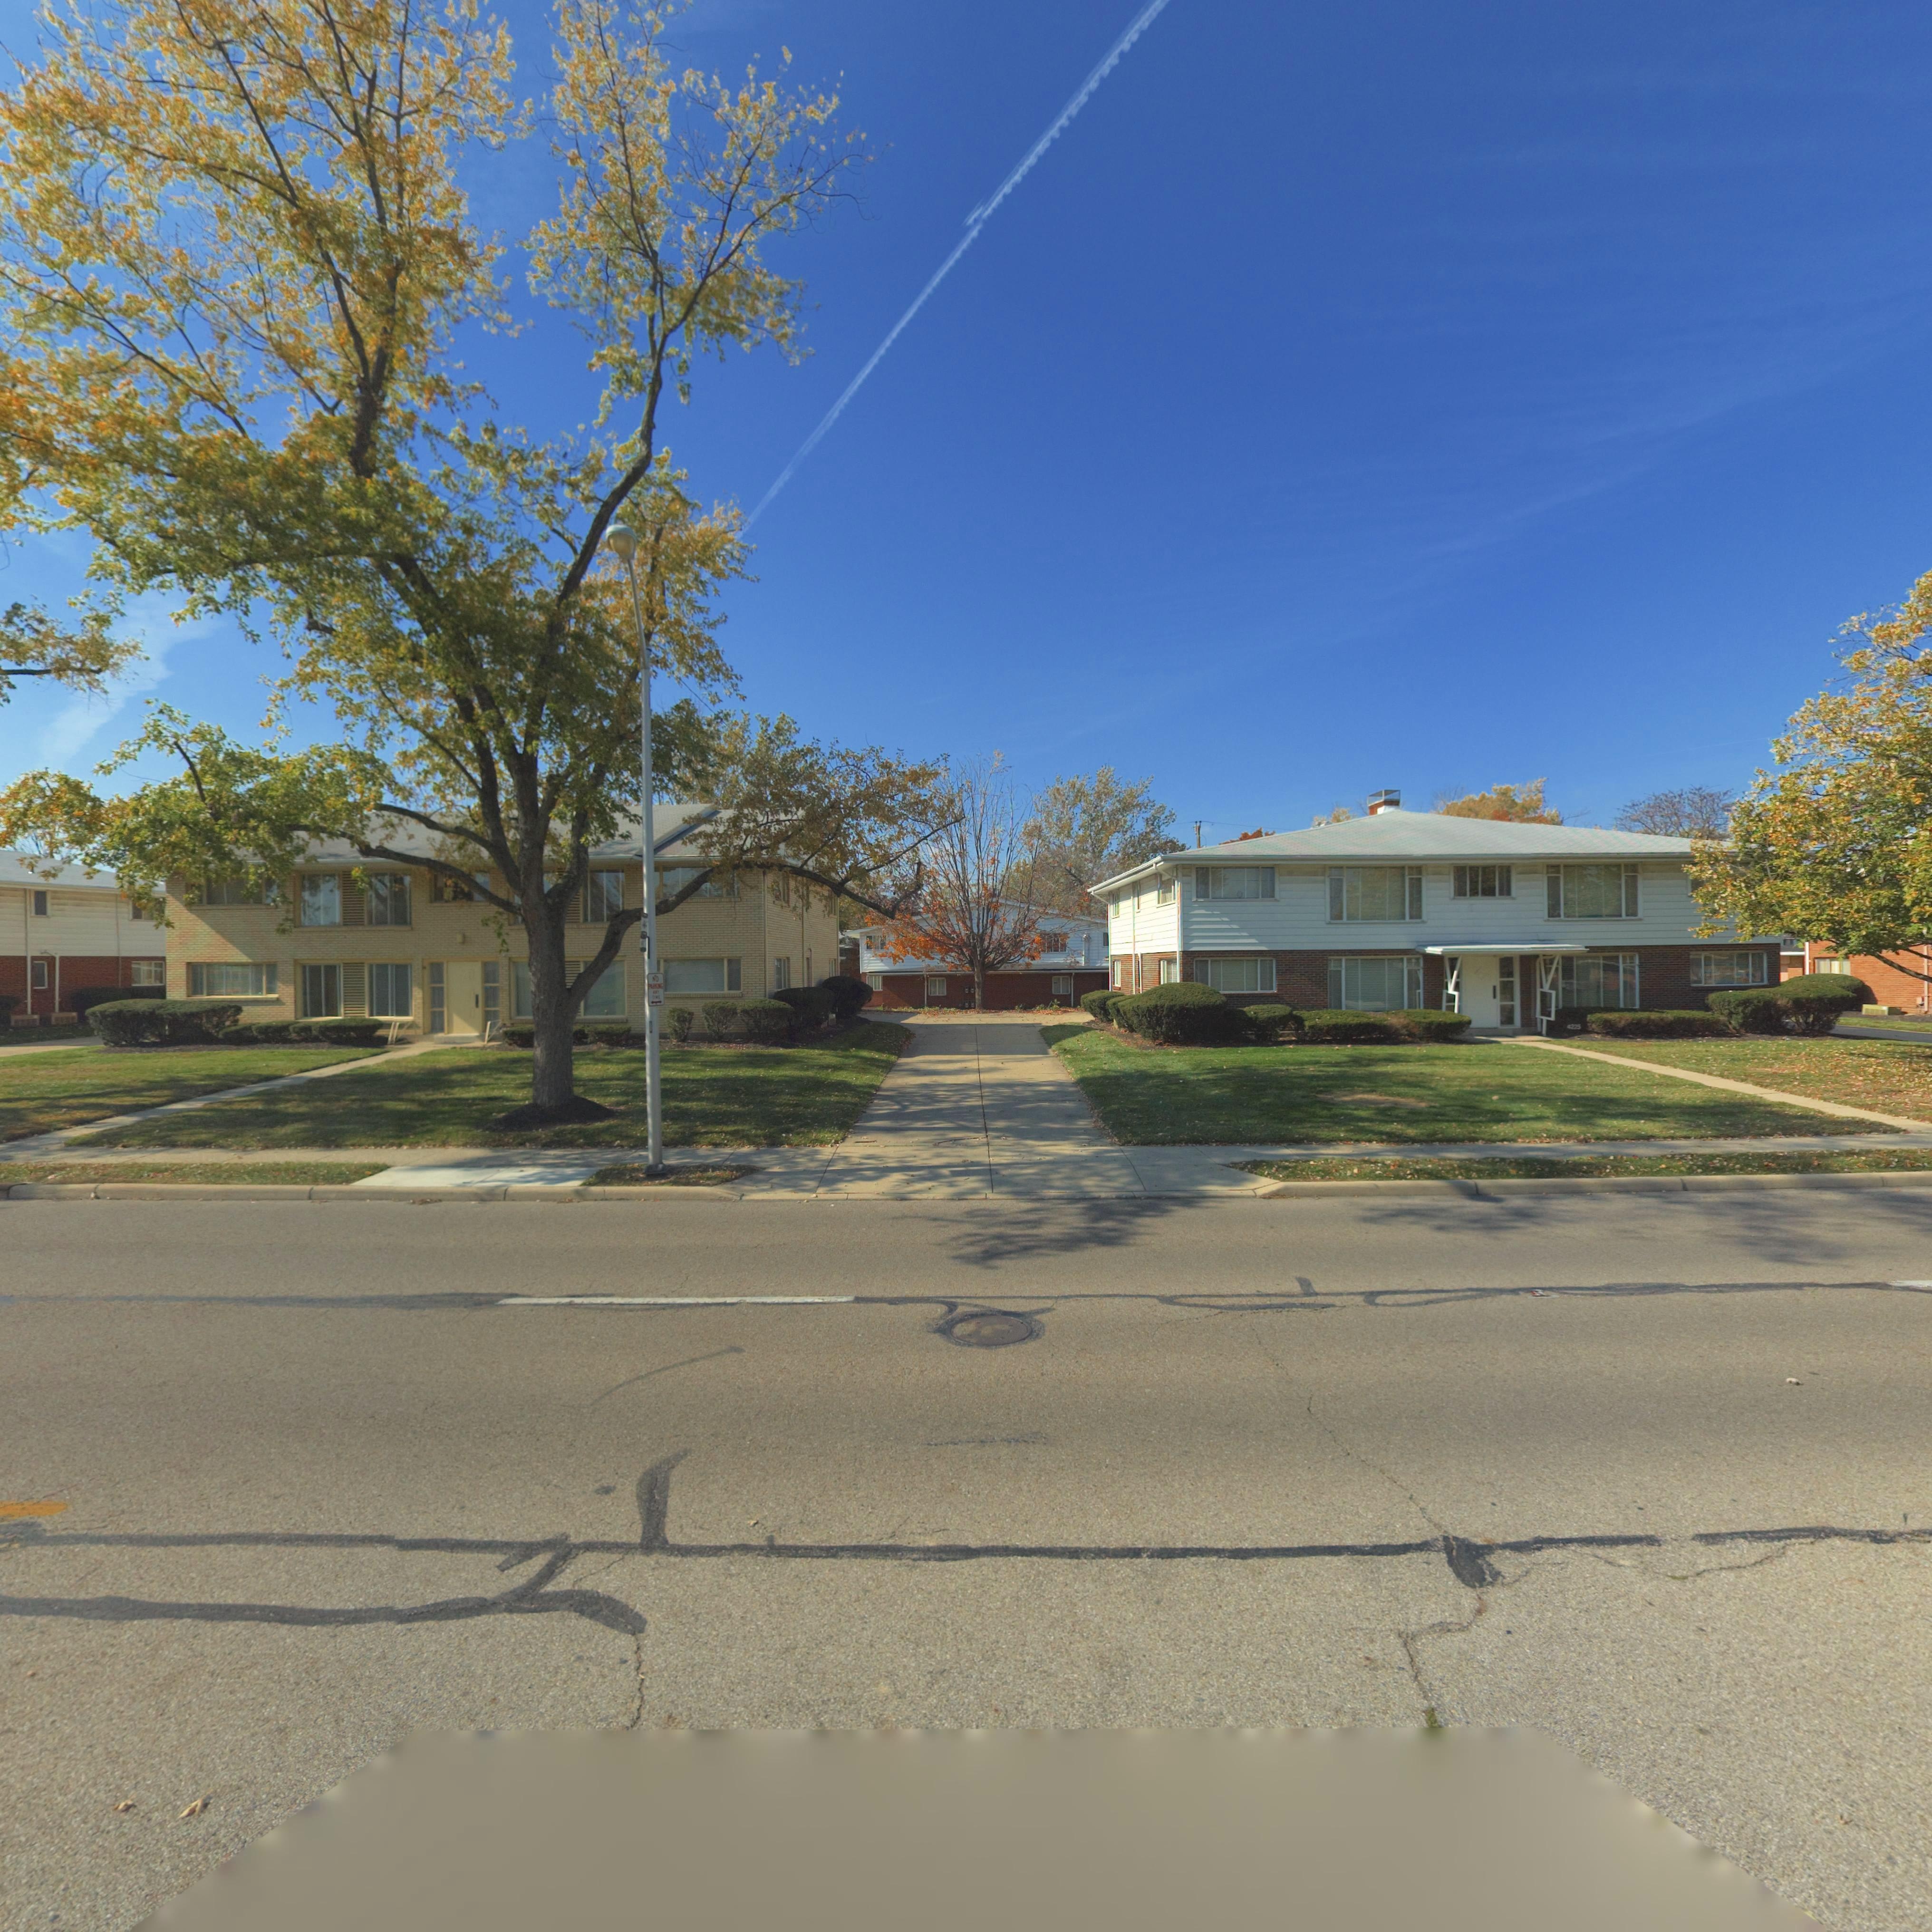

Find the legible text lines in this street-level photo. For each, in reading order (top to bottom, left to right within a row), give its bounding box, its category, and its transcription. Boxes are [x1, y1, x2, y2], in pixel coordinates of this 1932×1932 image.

[652, 976, 659, 982] None: NO
[647, 983, 663, 989] None: PARKING
[1566, 1024, 1581, 1030] StreetNumber: 4225